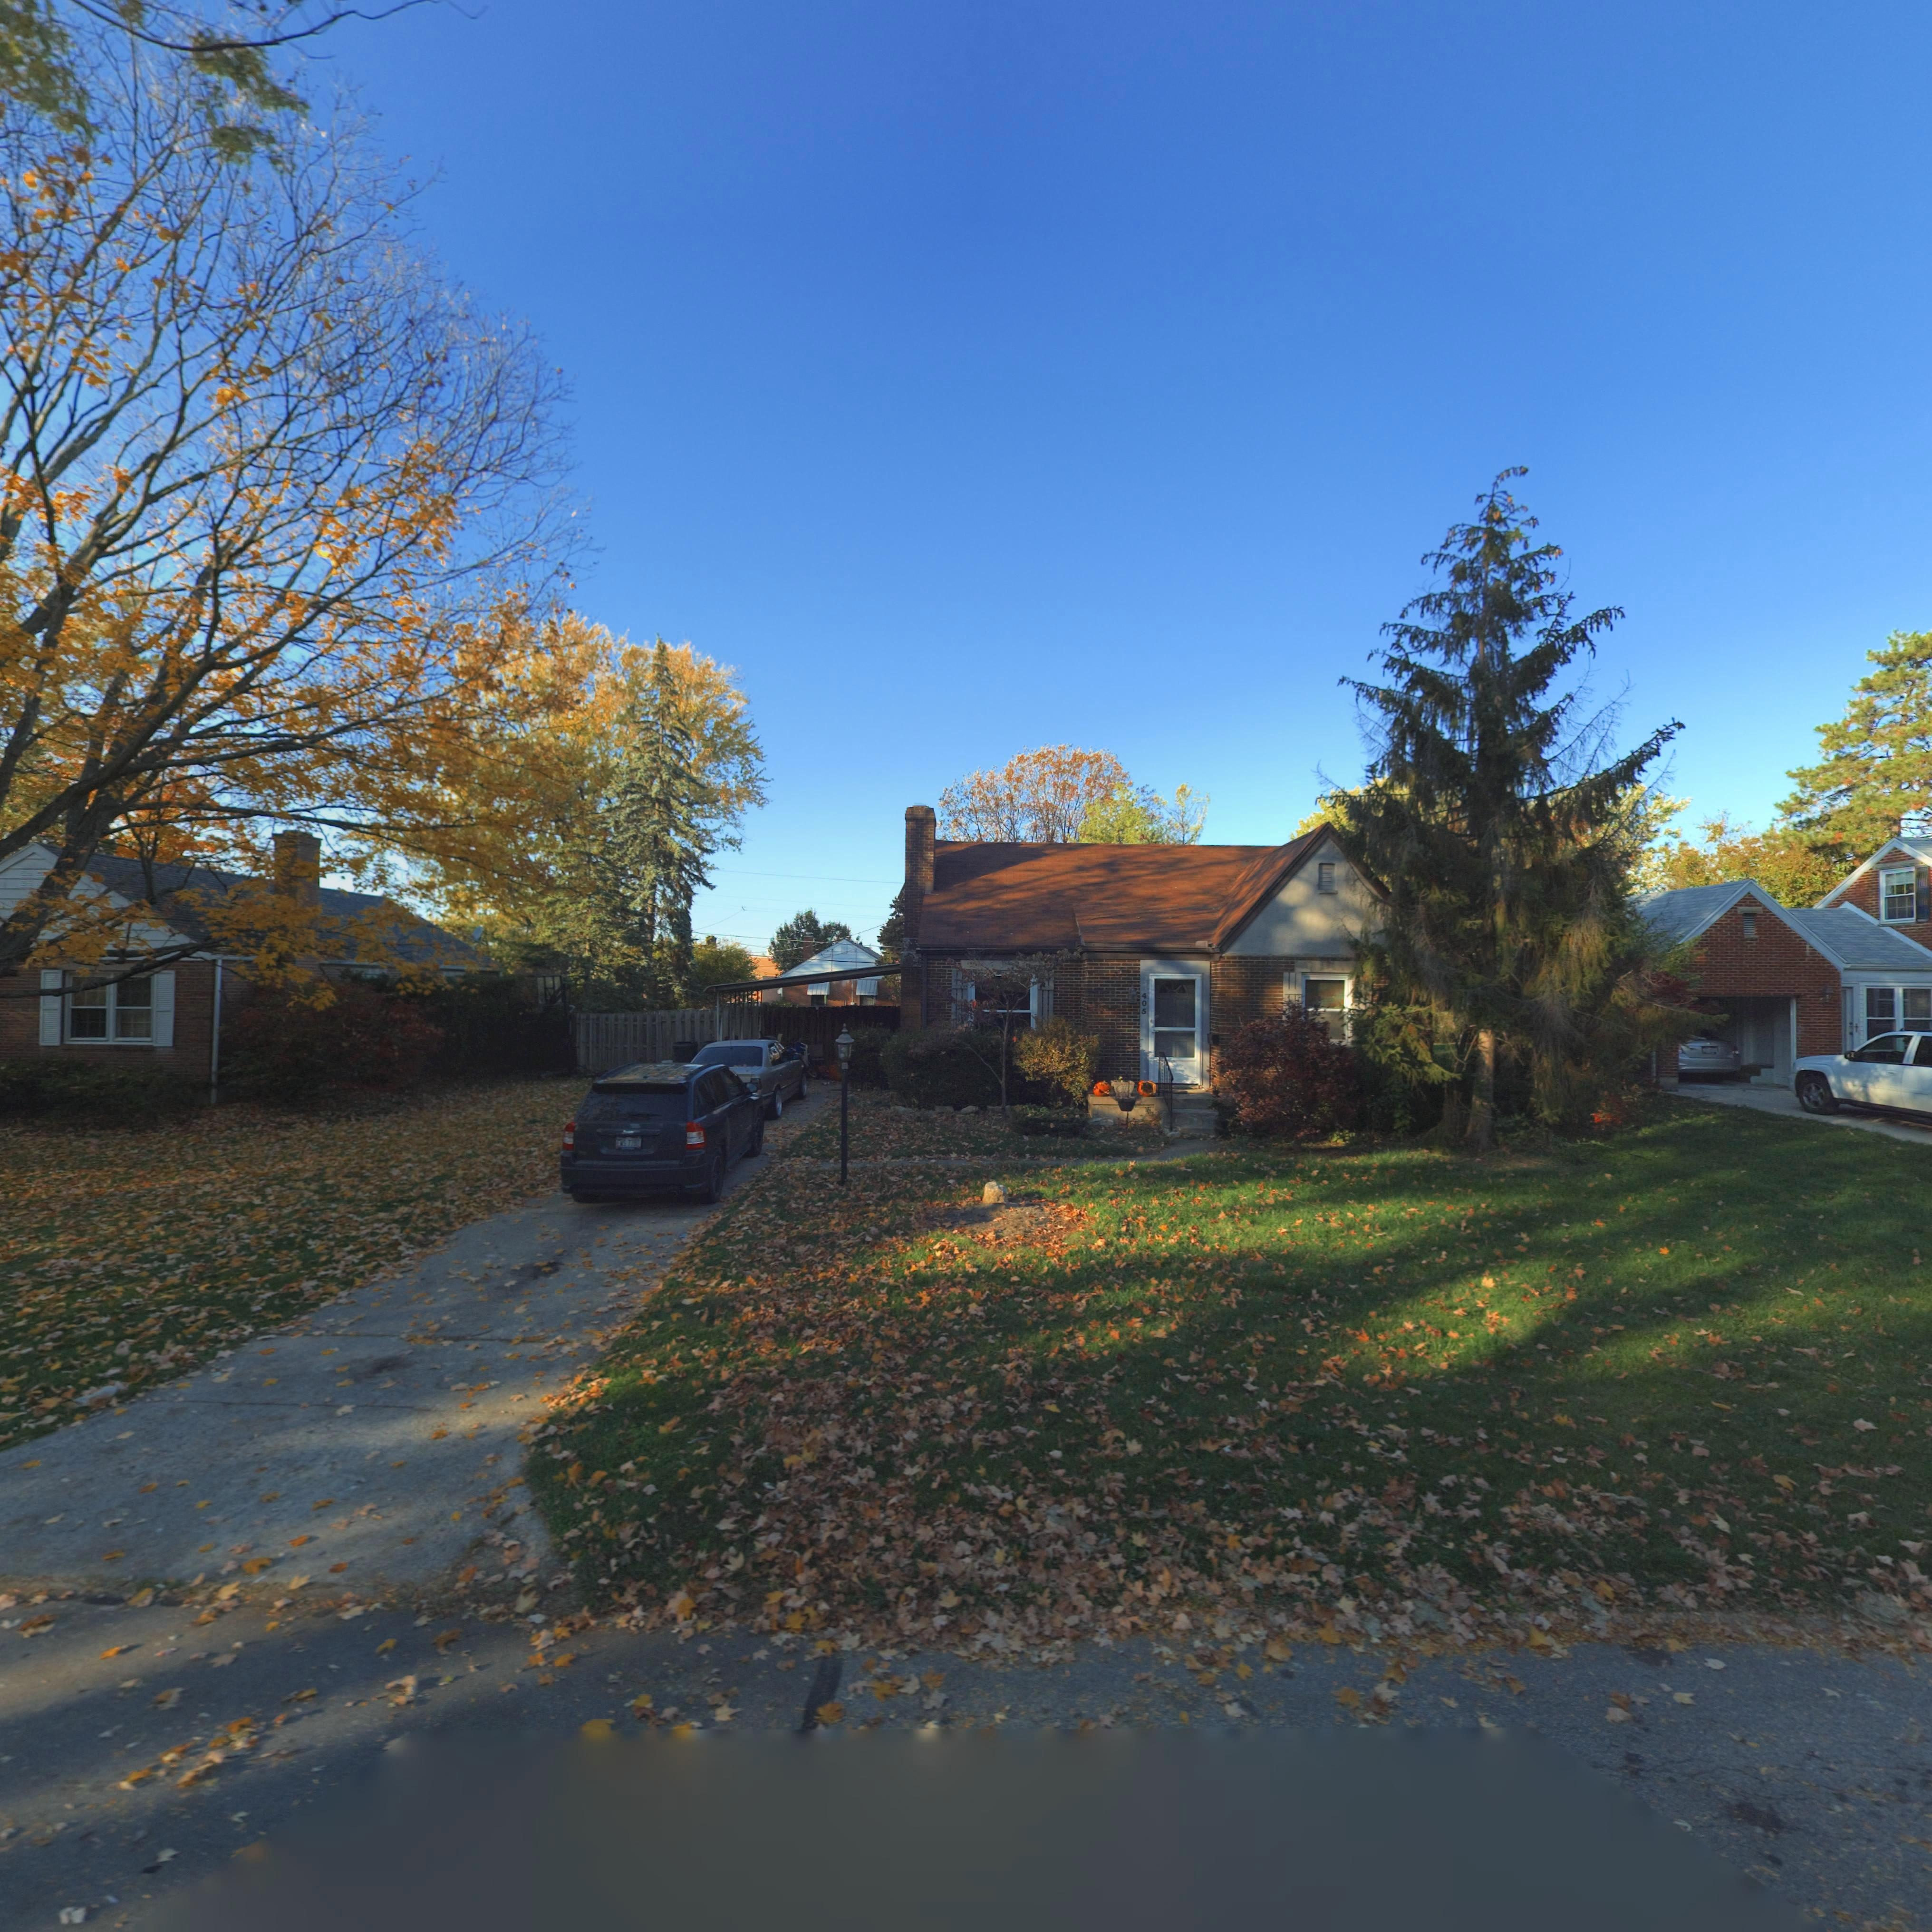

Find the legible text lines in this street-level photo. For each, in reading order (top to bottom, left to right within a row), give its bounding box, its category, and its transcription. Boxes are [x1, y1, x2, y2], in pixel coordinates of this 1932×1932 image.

[1141, 992, 1146, 1014] StreetNumber: 405